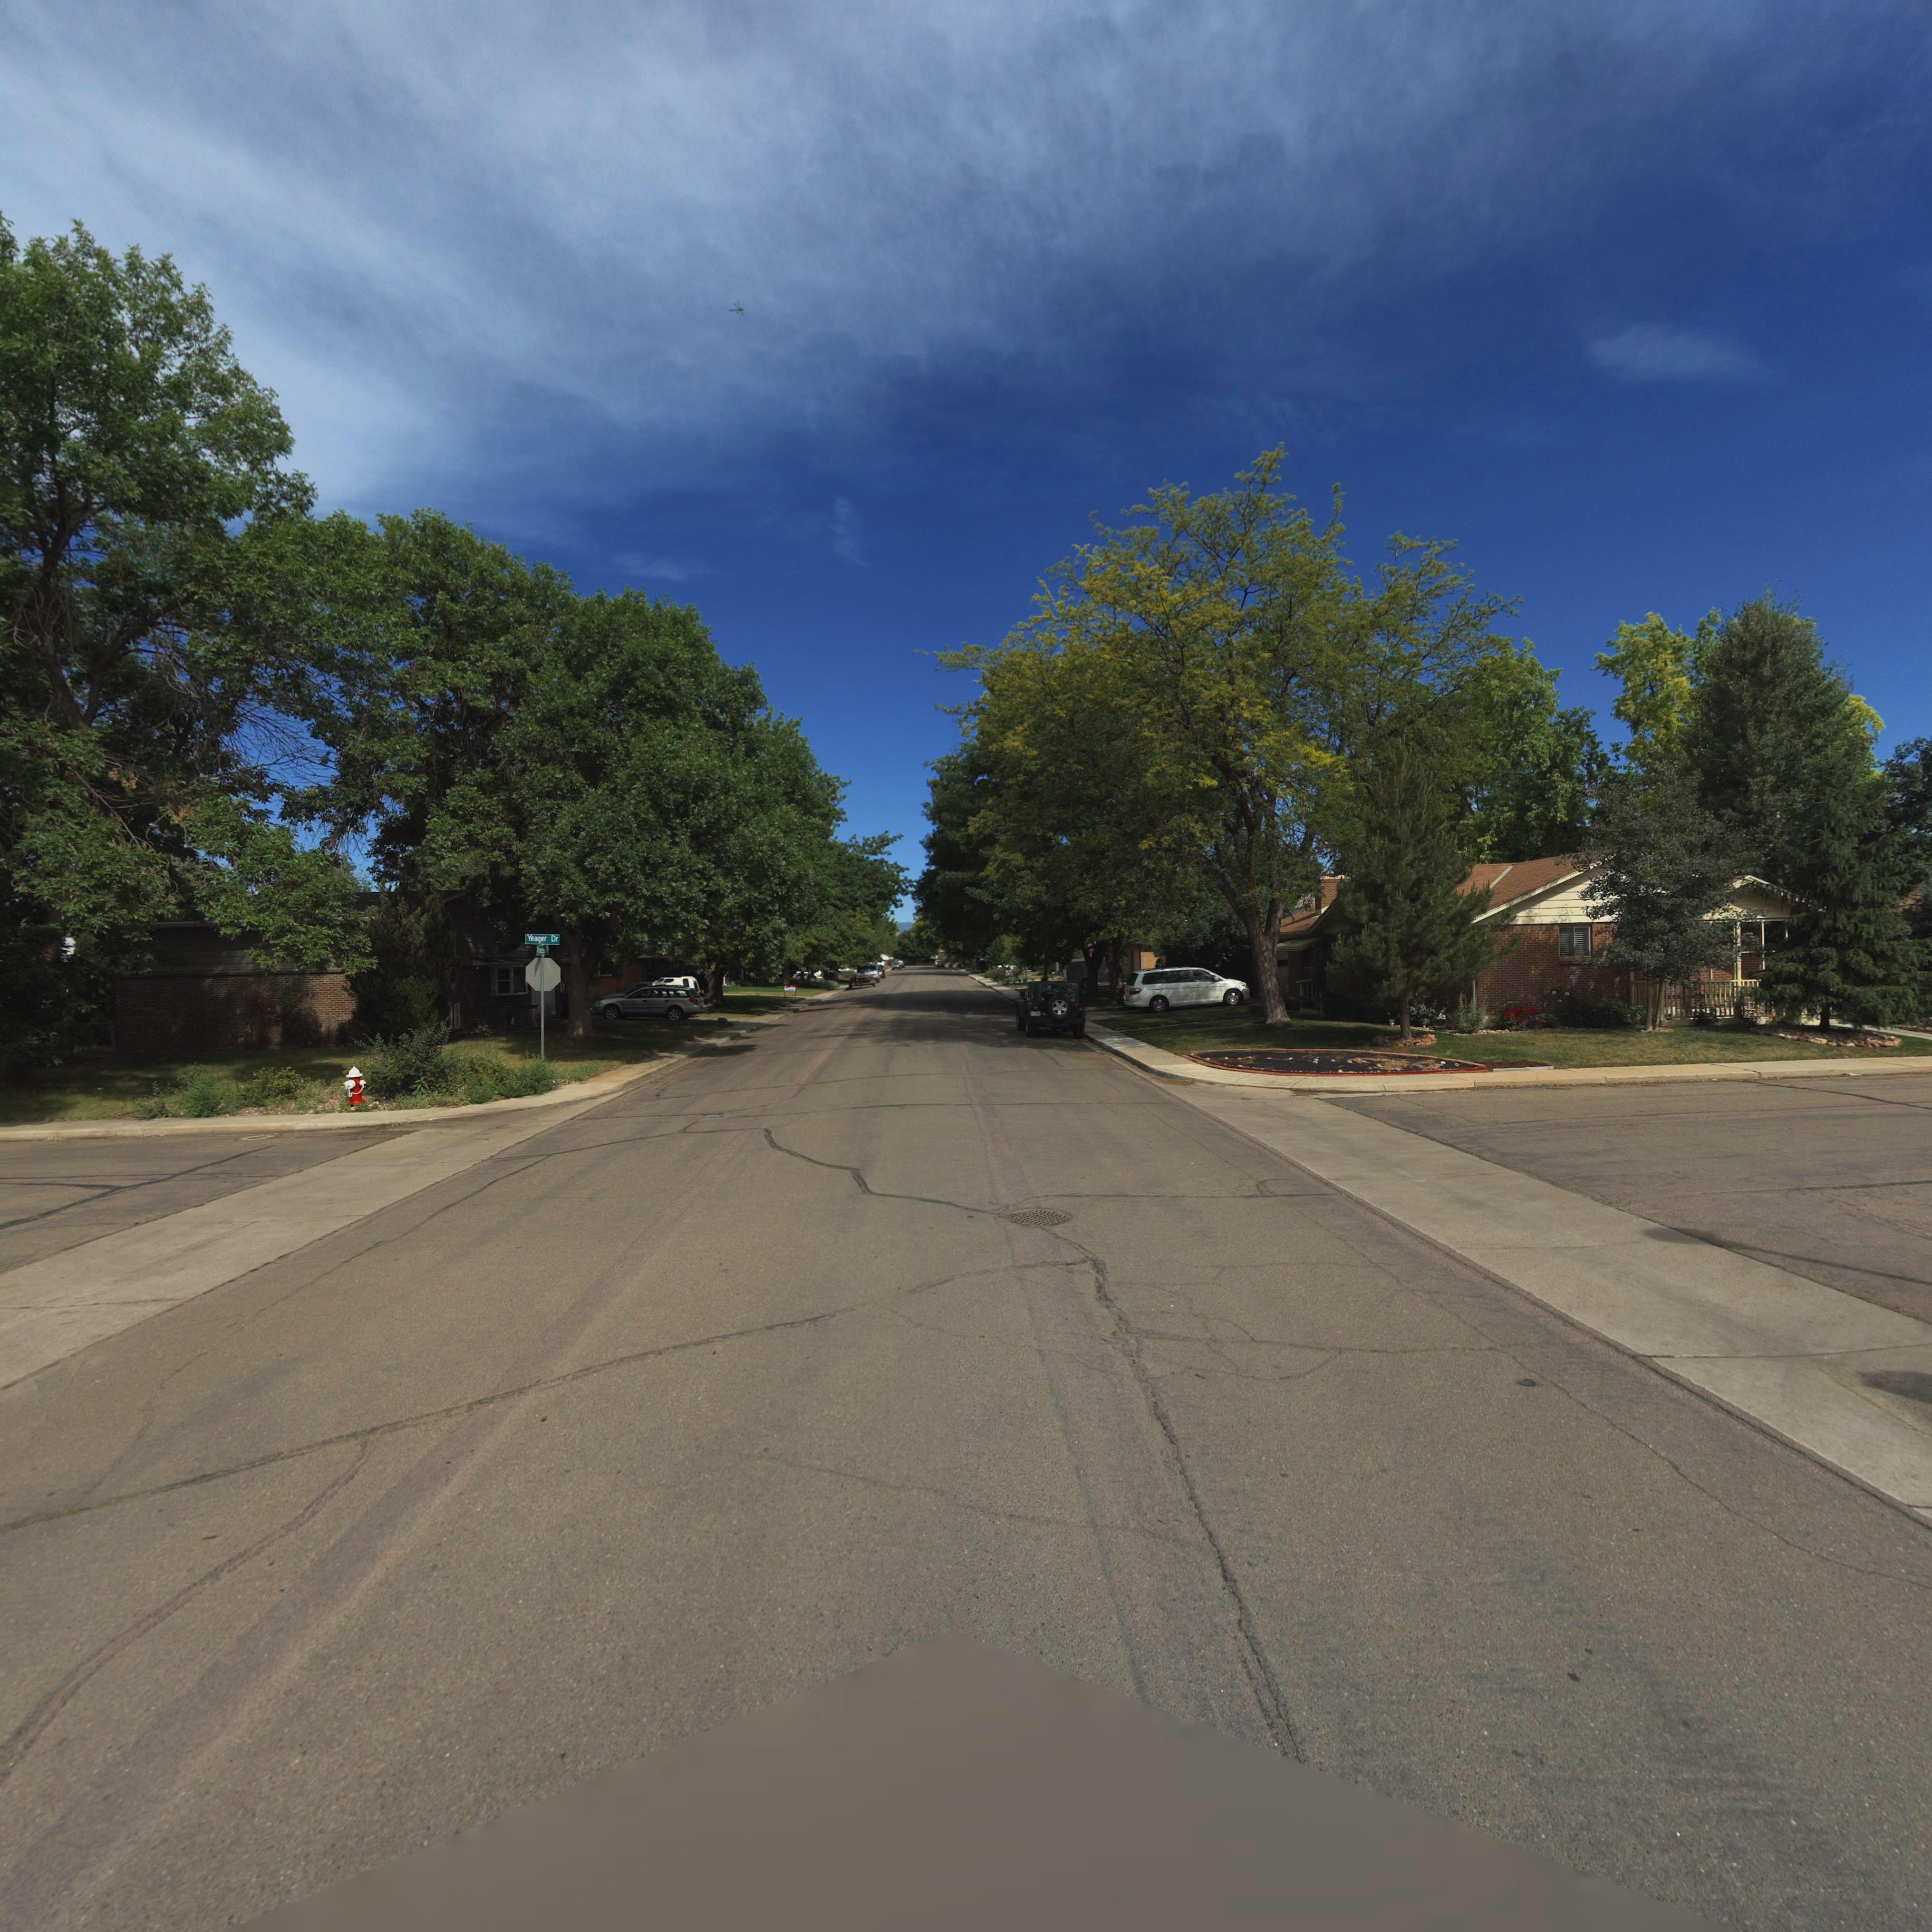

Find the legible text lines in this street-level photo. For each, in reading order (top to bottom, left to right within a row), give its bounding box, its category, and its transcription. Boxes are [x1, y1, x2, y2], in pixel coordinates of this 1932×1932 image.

[527, 934, 559, 944] StreetName: Yeager Dr